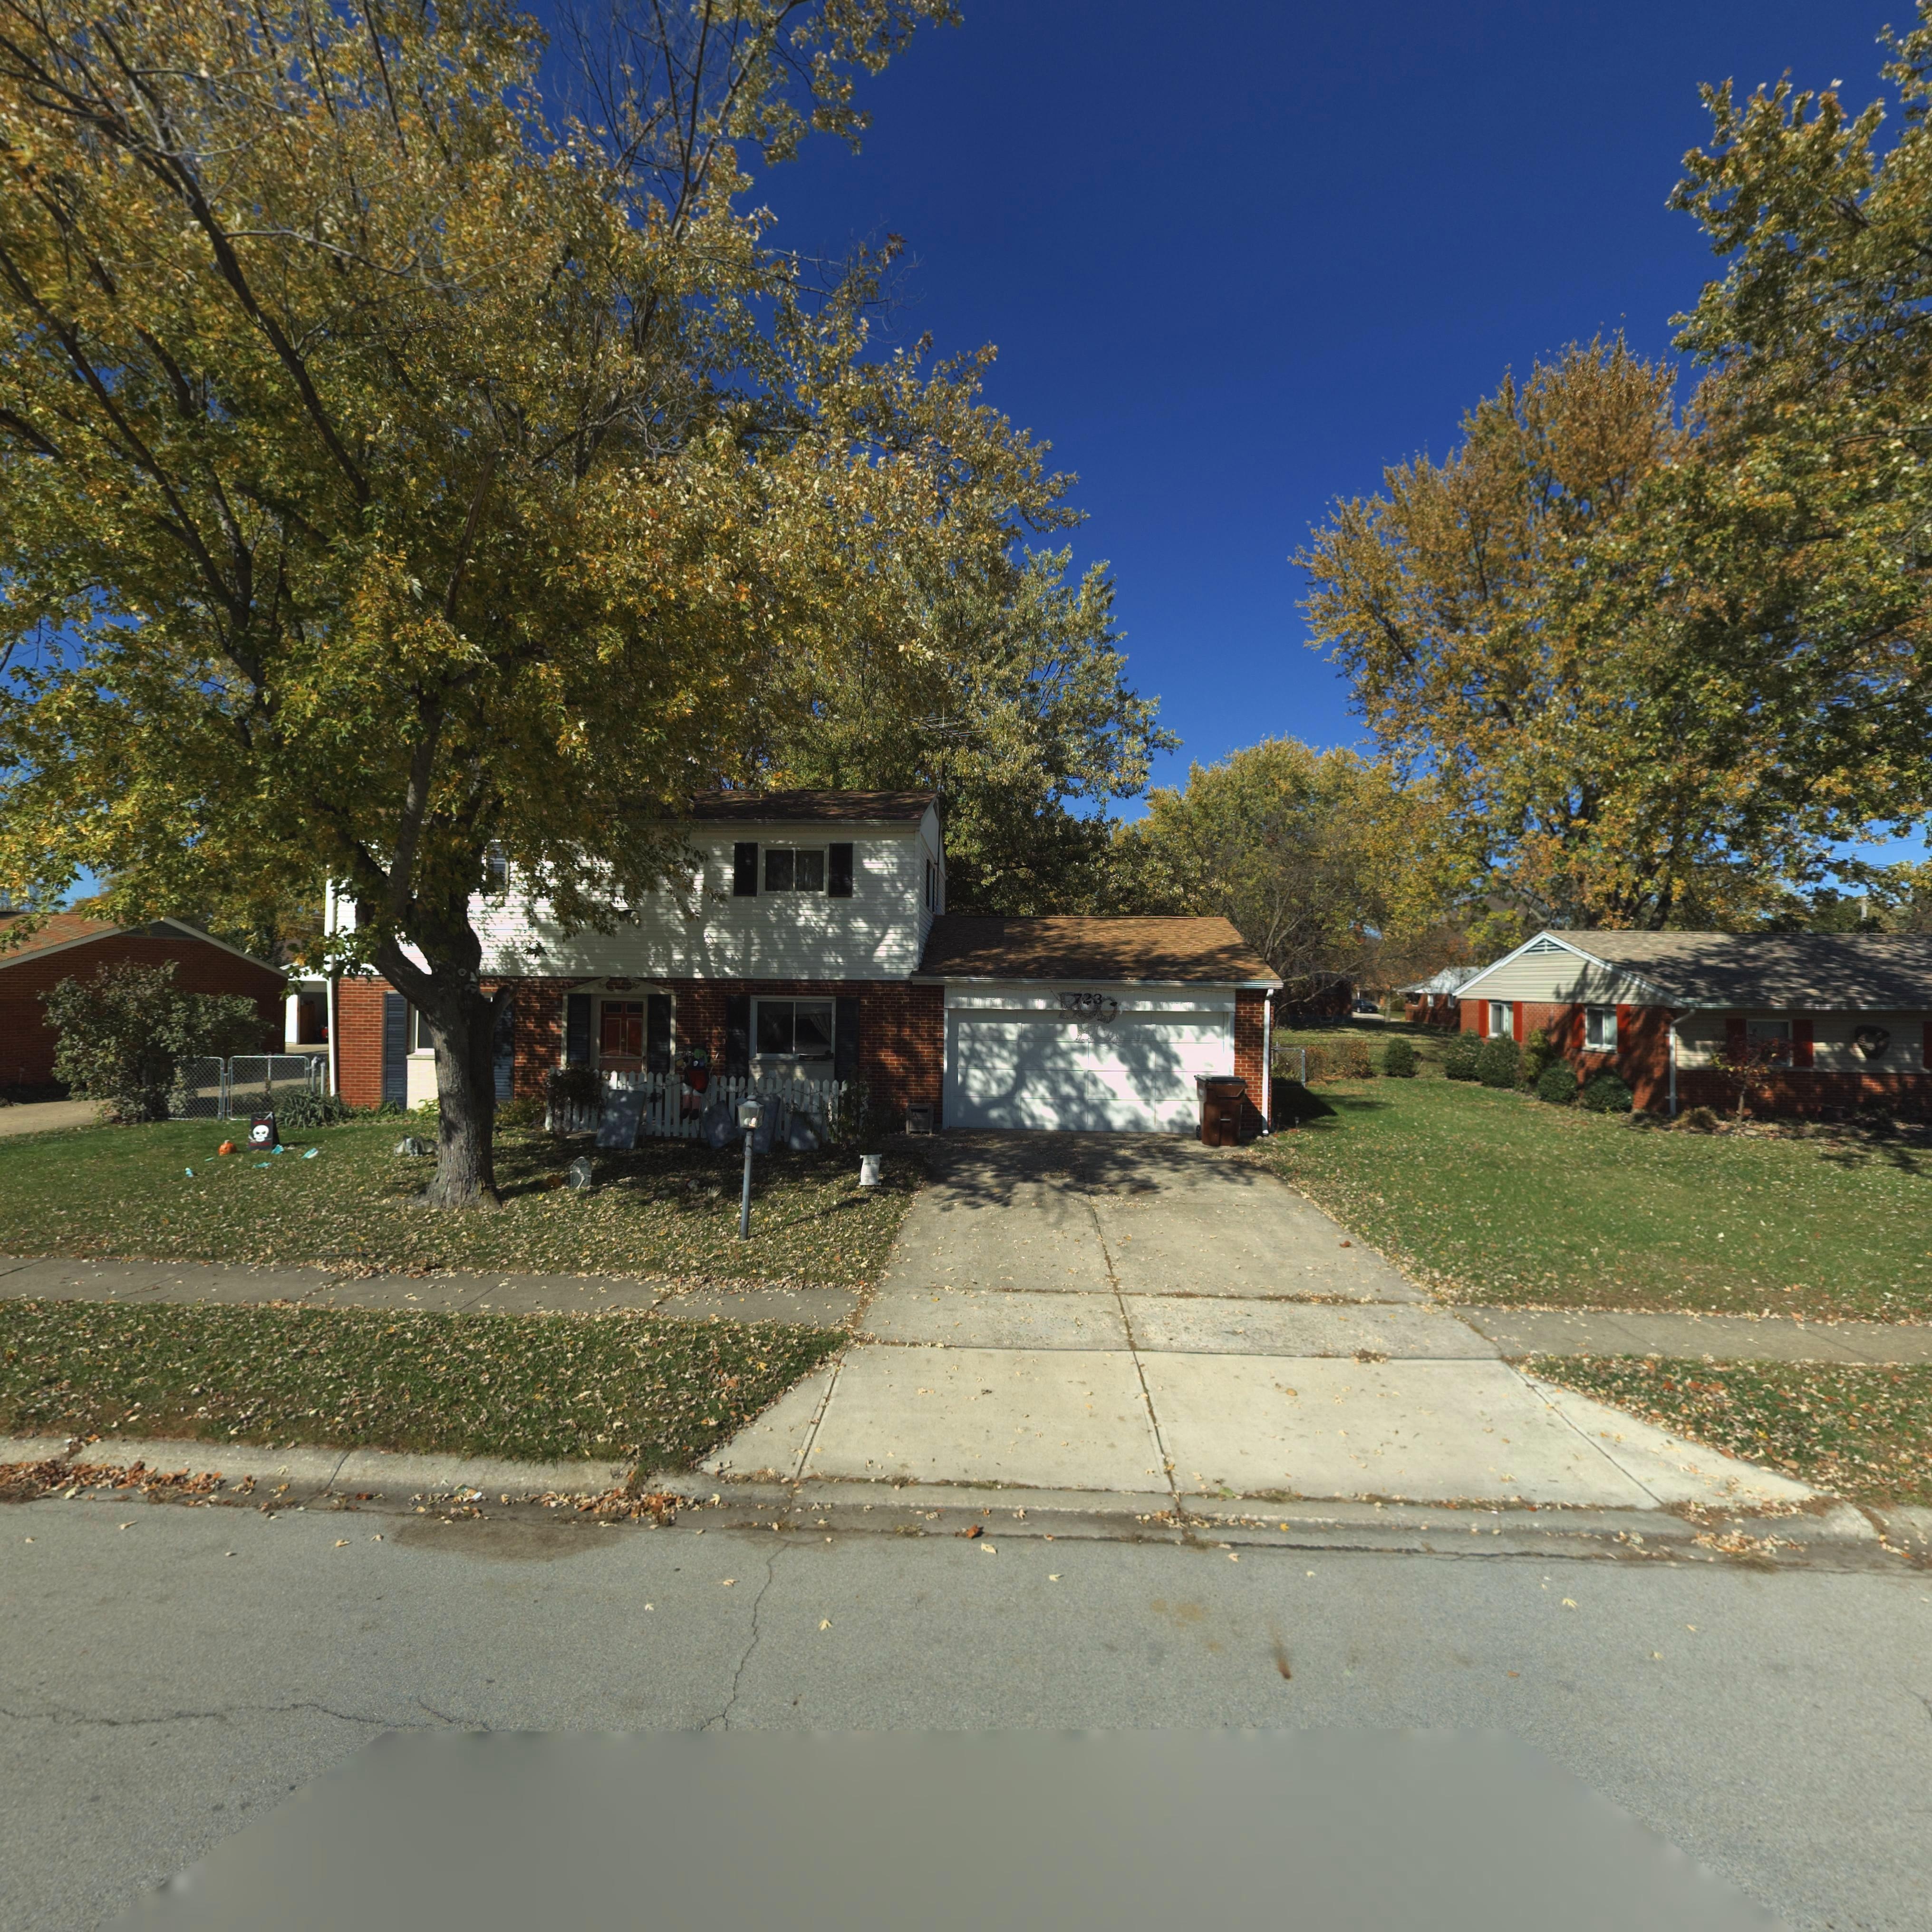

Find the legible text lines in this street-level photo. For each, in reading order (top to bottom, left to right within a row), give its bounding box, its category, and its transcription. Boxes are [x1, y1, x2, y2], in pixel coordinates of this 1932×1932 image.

[1072, 992, 1103, 1005] StreetNumber: 723